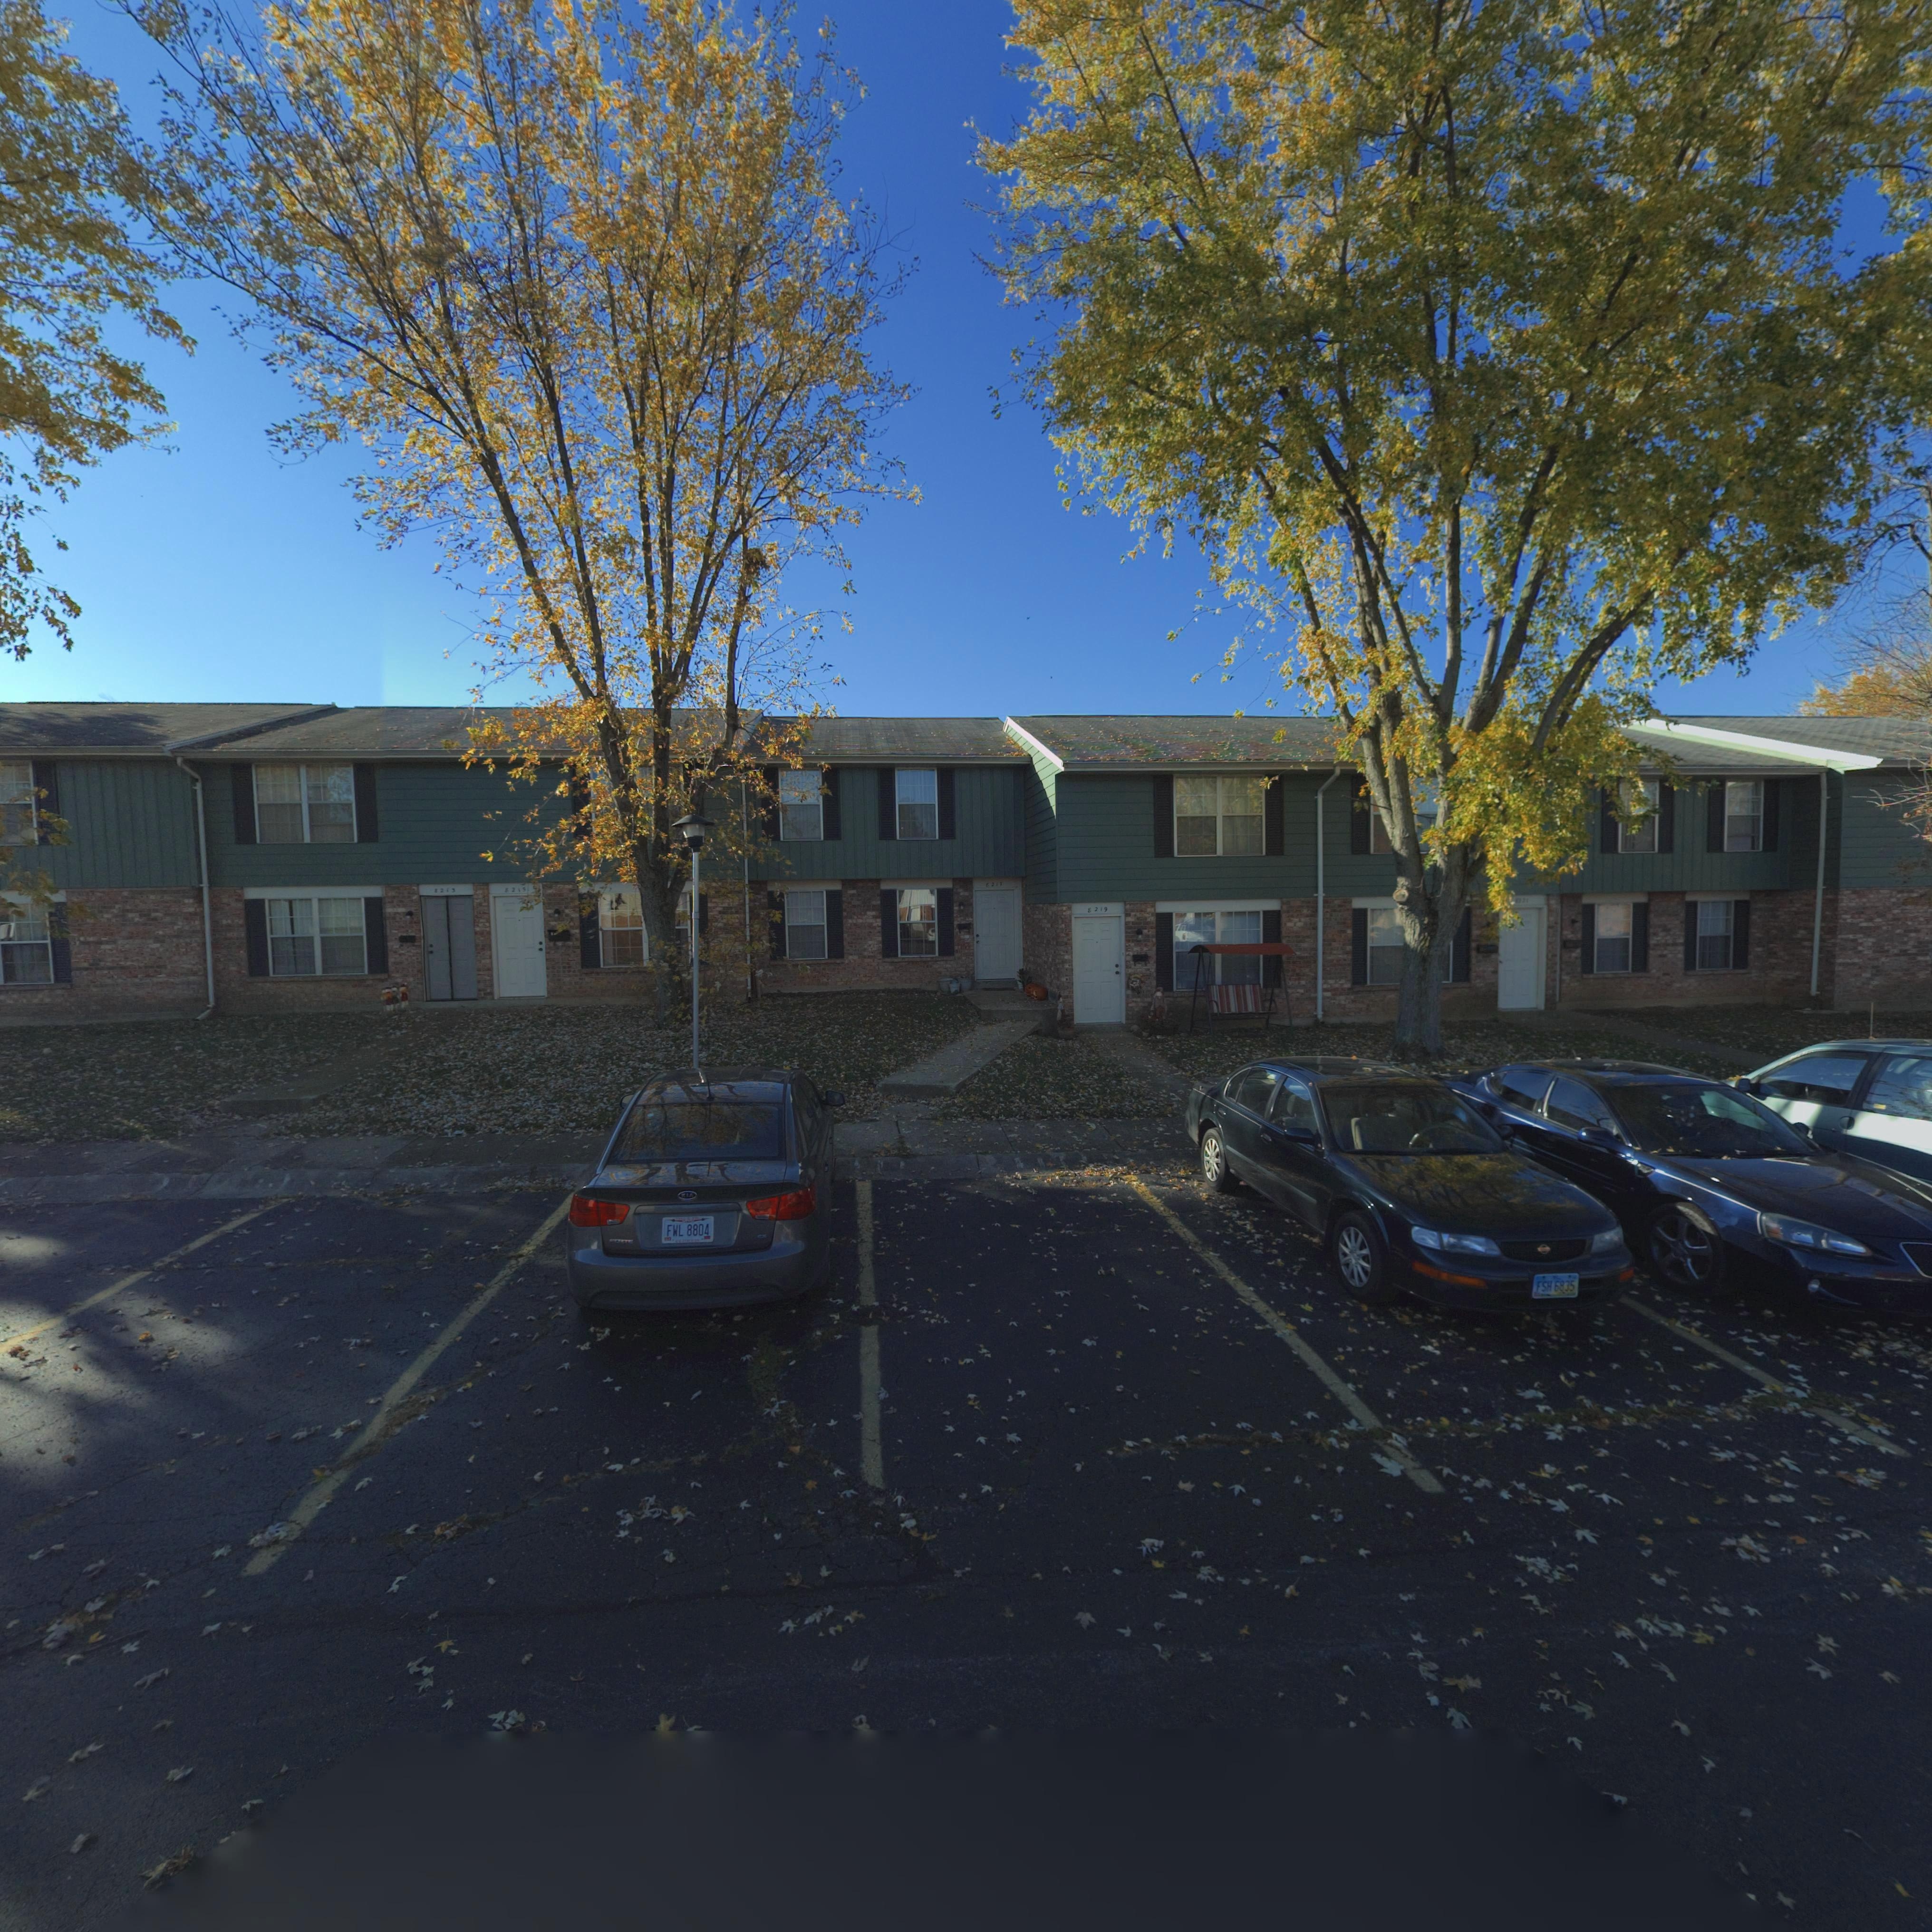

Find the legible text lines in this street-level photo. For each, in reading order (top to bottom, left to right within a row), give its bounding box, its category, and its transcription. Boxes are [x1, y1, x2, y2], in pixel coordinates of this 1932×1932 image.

[985, 881, 1003, 887] StreetNumber: 8217
[434, 887, 455, 893] StreetNumber: 8213
[505, 886, 526, 893] StreetNumber: 8215
[1514, 897, 1529, 904] StreetNumber: 8221
[1087, 906, 1108, 913] StreetNumber: 8219